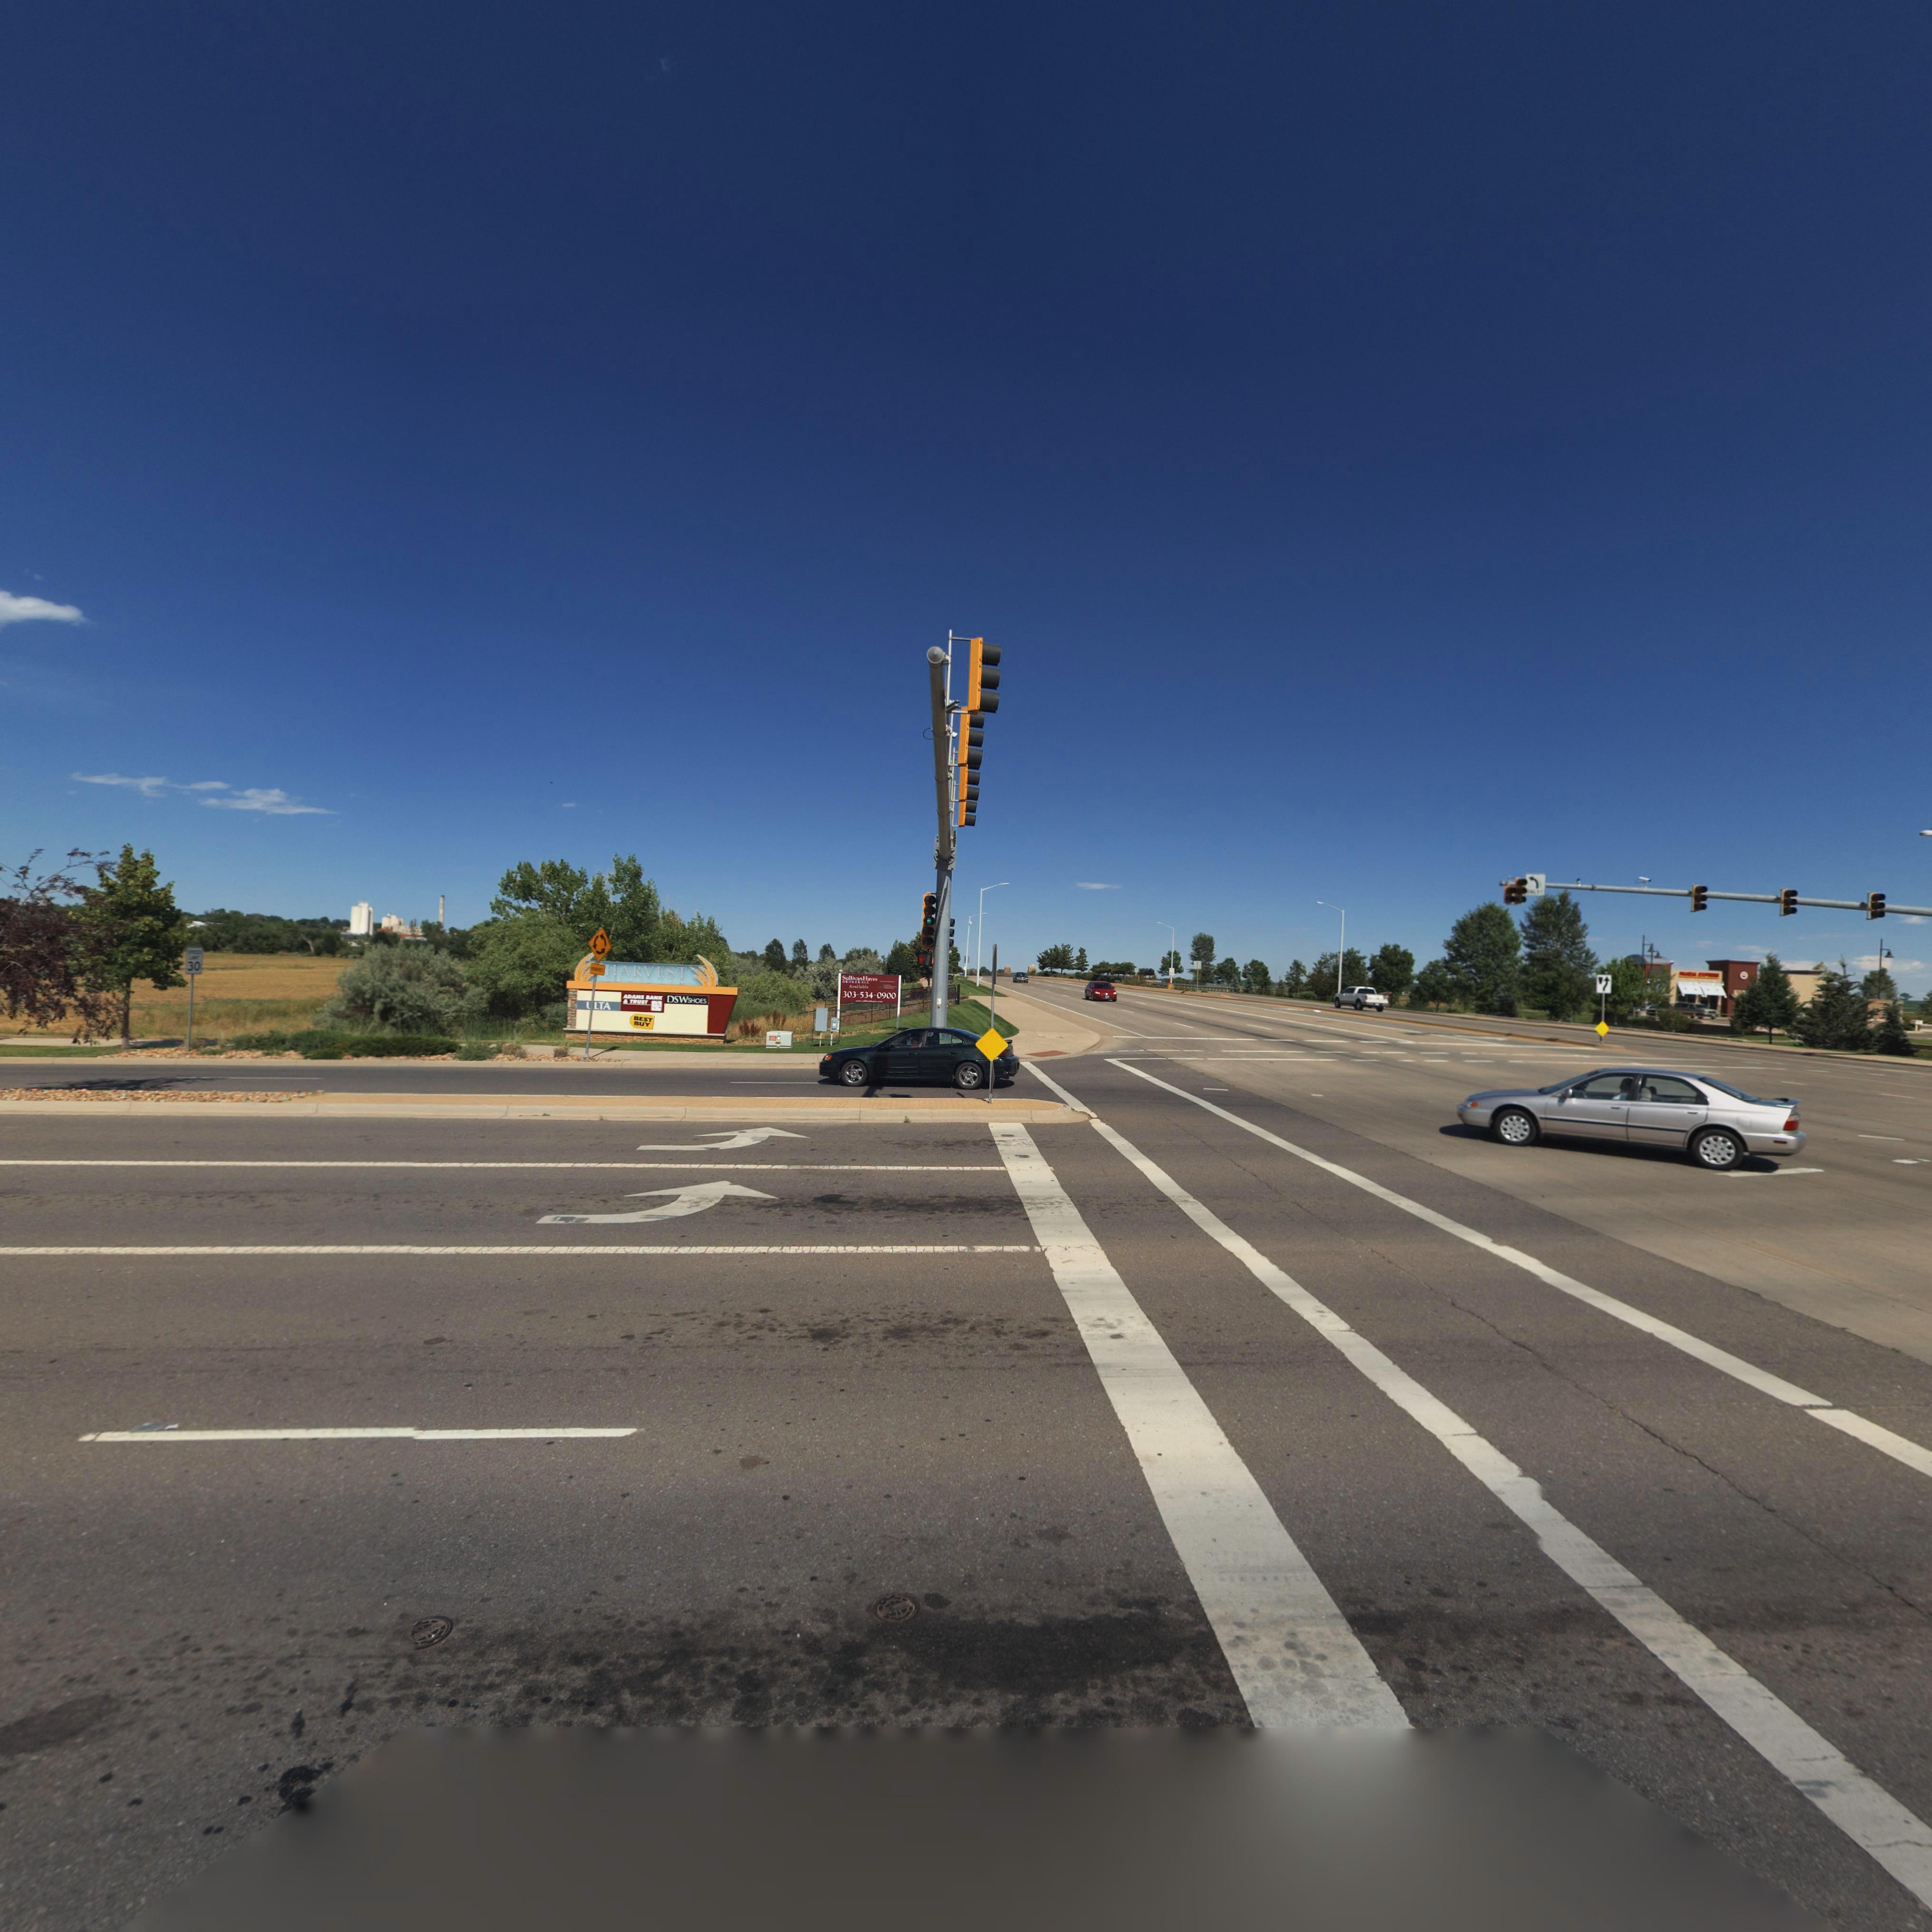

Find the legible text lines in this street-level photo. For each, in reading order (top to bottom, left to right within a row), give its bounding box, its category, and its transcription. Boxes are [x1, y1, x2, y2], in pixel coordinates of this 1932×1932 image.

[1679, 971, 1719, 977] BusinessName: PANDA EXPRESS
[621, 994, 664, 1000] BusinessName: ADAMS BANK
[622, 998, 648, 1005] BusinessName: & TRUST
[585, 1001, 612, 1010] BusinessName: ULTA
[634, 1015, 653, 1022] BusinessName: BEST
[634, 1021, 650, 1027] BusinessName: BUY